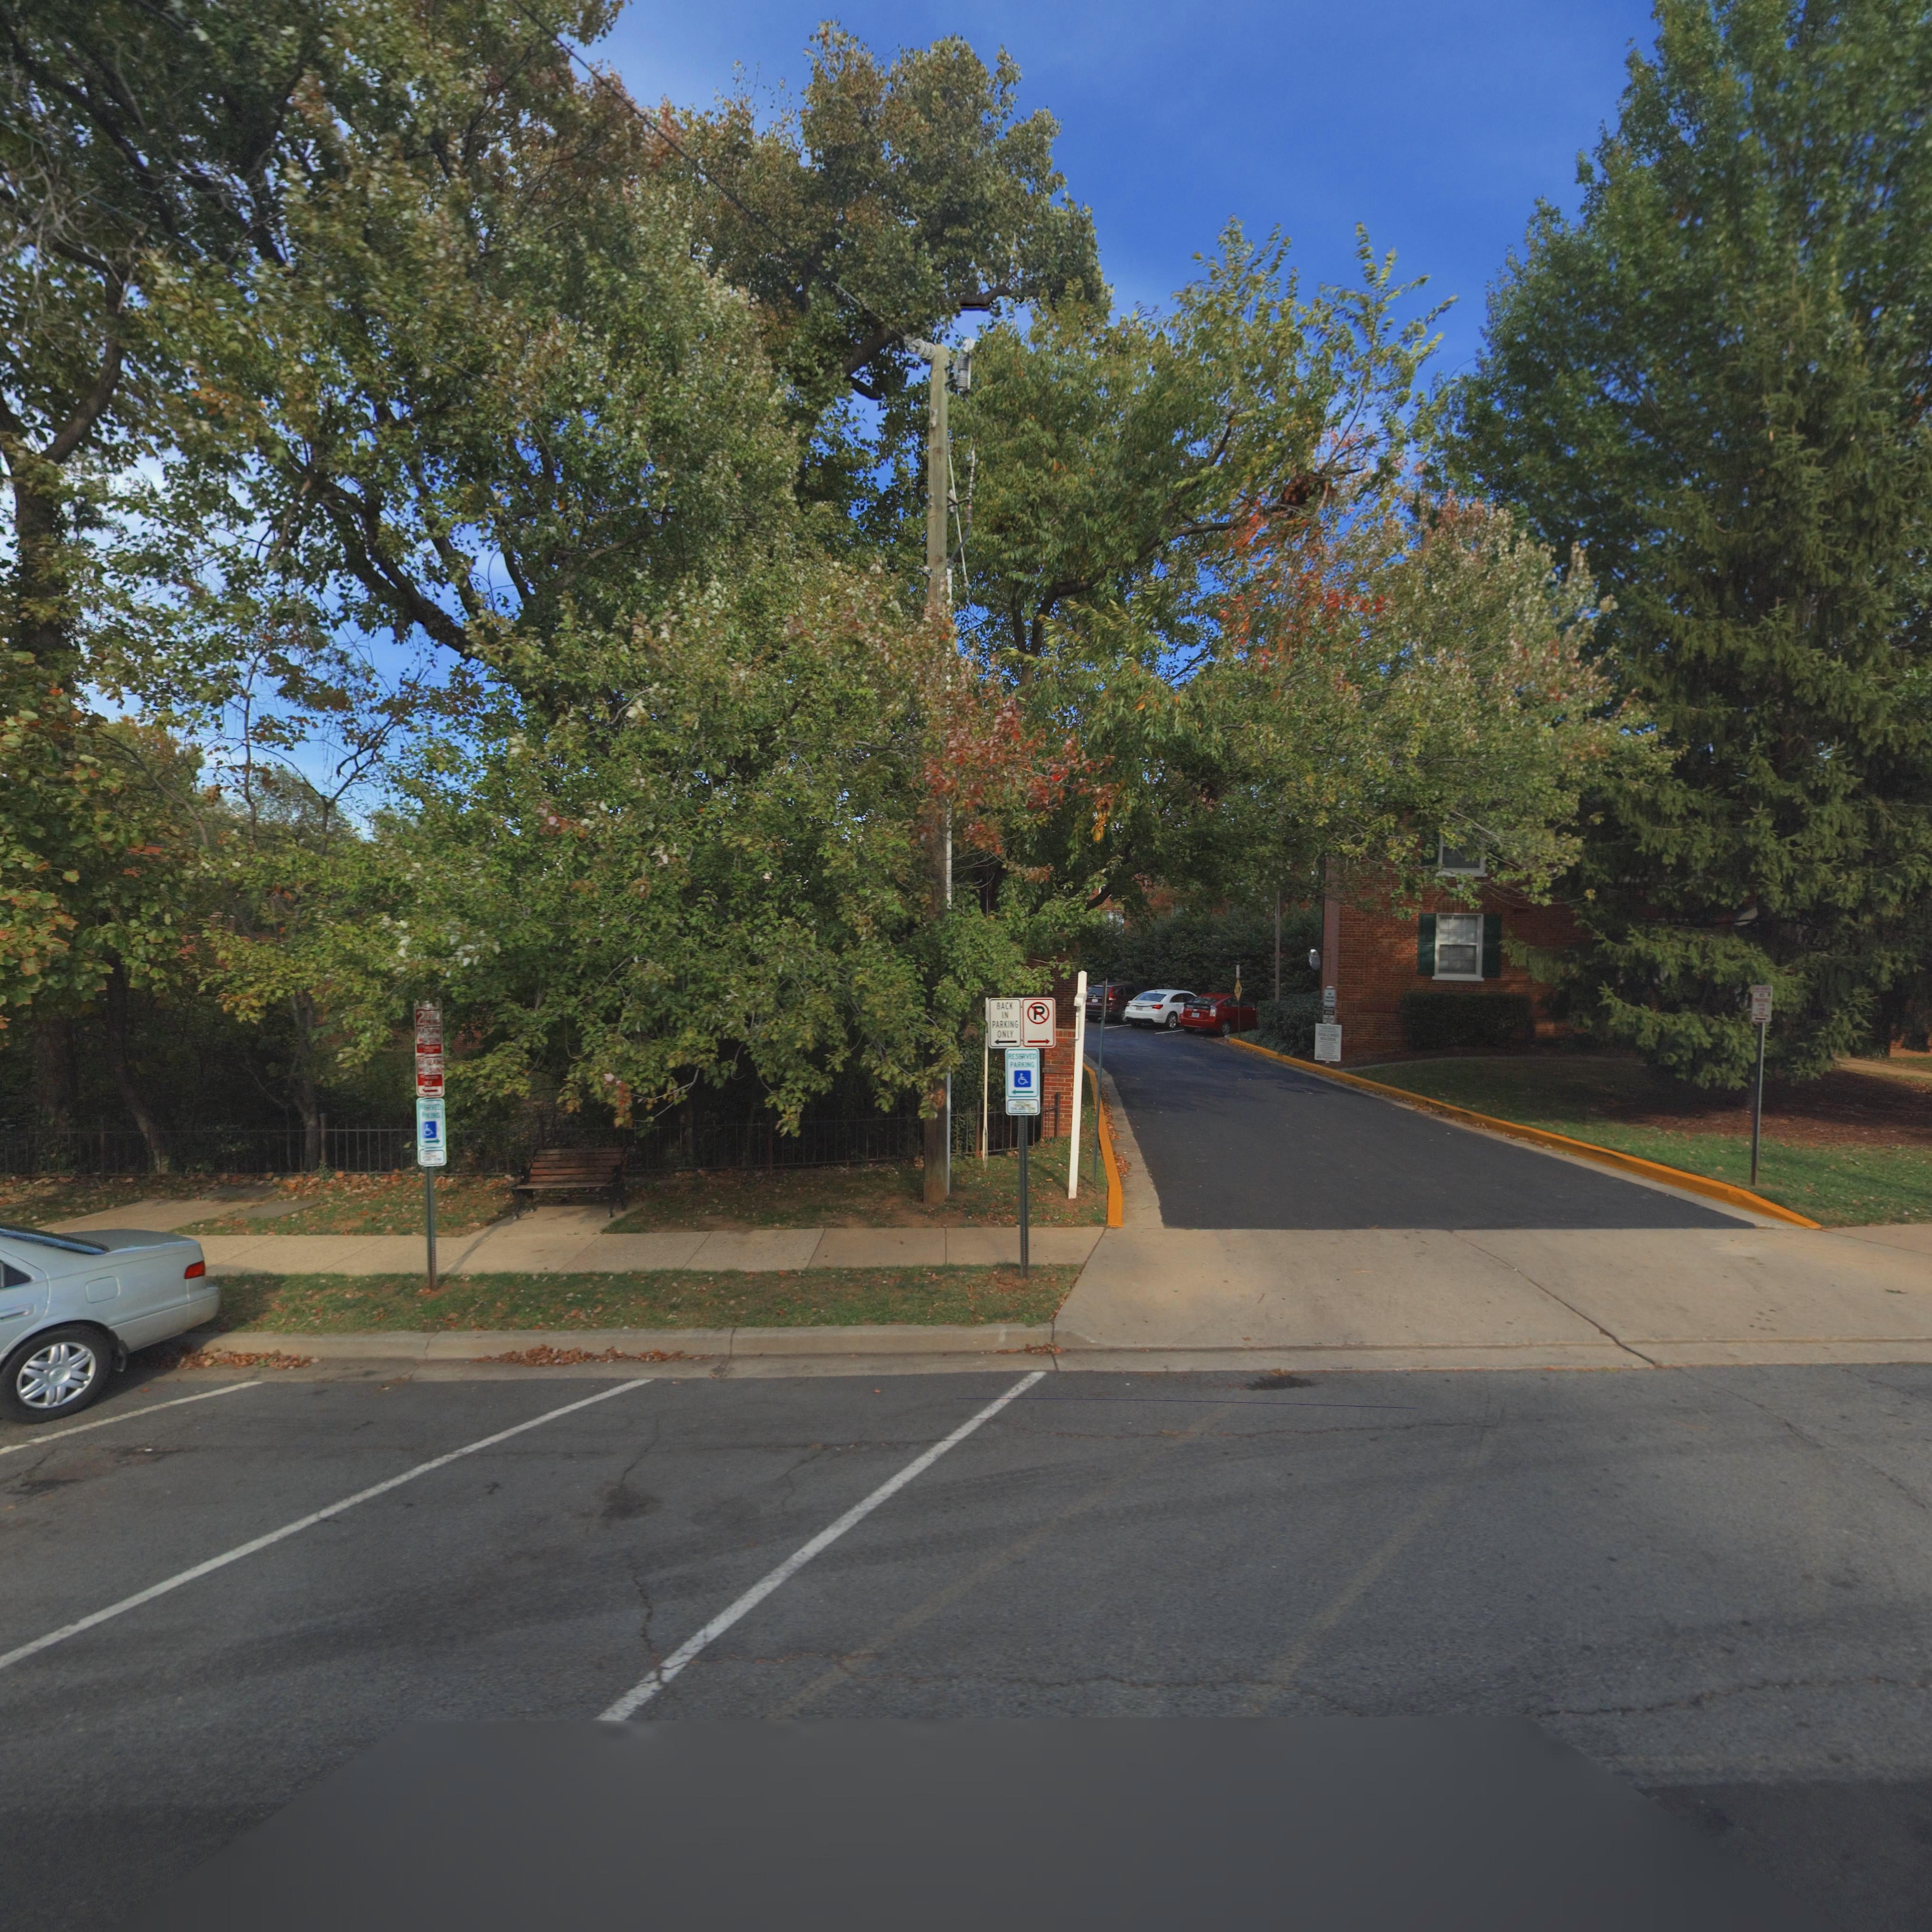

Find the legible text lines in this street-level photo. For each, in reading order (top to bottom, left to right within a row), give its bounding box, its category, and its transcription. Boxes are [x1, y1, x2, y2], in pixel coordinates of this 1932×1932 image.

[996, 1002, 1014, 1011] None: BACK
[416, 1010, 425, 1026] None: 2
[1001, 1011, 1009, 1020] None: IN
[991, 1020, 1019, 1029] None: PARKING
[427, 1028, 440, 1036] None: 5PM
[997, 1030, 1014, 1039] None: ONLY
[427, 1037, 440, 1044] None: SUN
[1008, 1053, 1037, 1060] None: RESE*VED
[426, 1059, 442, 1066] None: 12A*
[1010, 1062, 1035, 1068] None: PARKING
[429, 1067, 442, 1074] None: SUN
[419, 1103, 424, 1110] None: R
[427, 1104, 442, 1111] None: RVED
[421, 1111, 425, 1117] None: P
[426, 1112, 440, 1120] None: KING